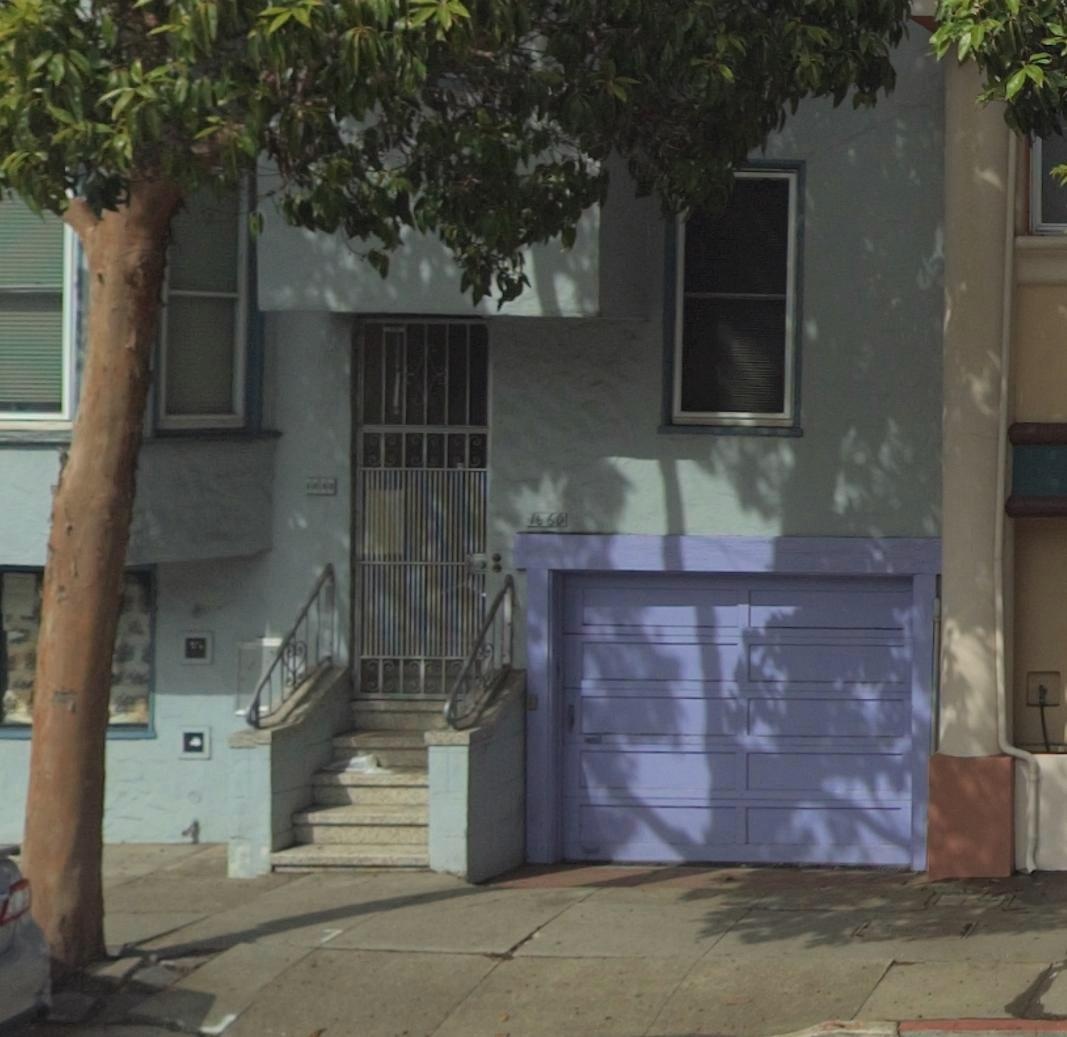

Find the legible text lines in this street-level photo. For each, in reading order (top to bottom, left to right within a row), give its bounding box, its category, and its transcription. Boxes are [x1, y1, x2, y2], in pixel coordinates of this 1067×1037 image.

[528, 512, 566, 527] StreetNumber: 1660